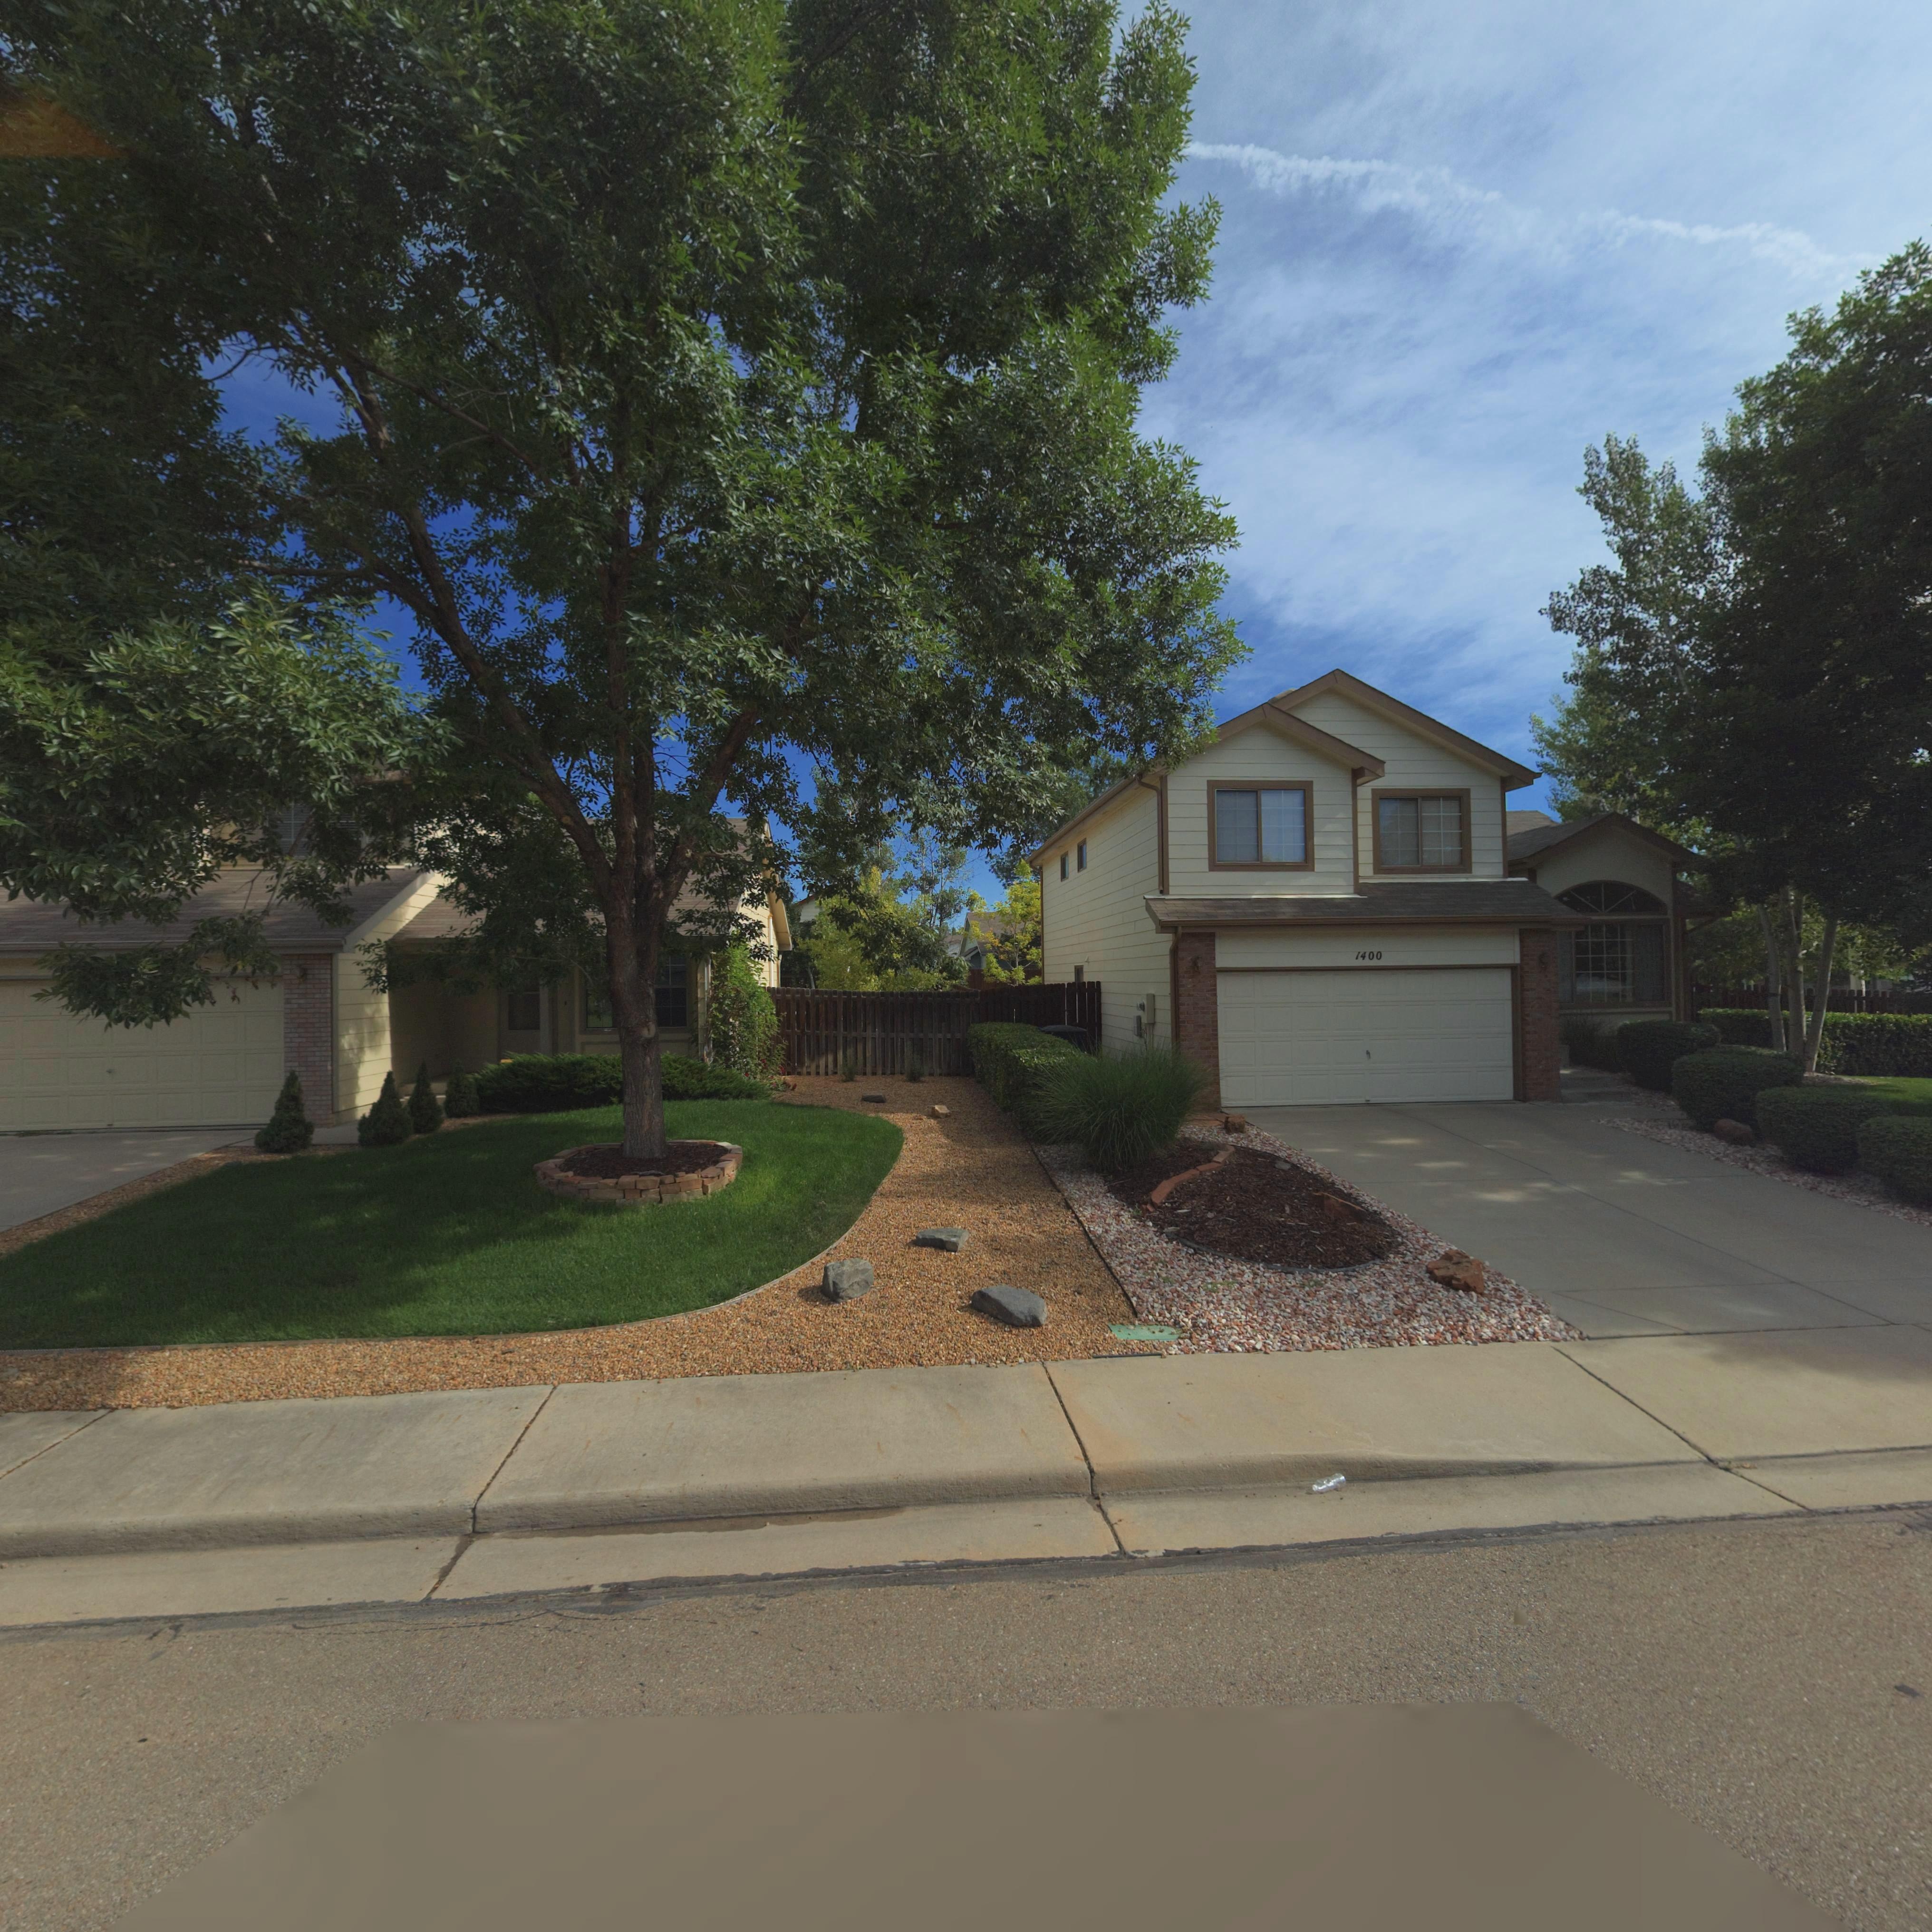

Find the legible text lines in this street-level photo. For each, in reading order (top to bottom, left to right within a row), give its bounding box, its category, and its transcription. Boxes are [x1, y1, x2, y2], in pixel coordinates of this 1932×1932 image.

[1354, 950, 1382, 960] StreetNumber: 1400